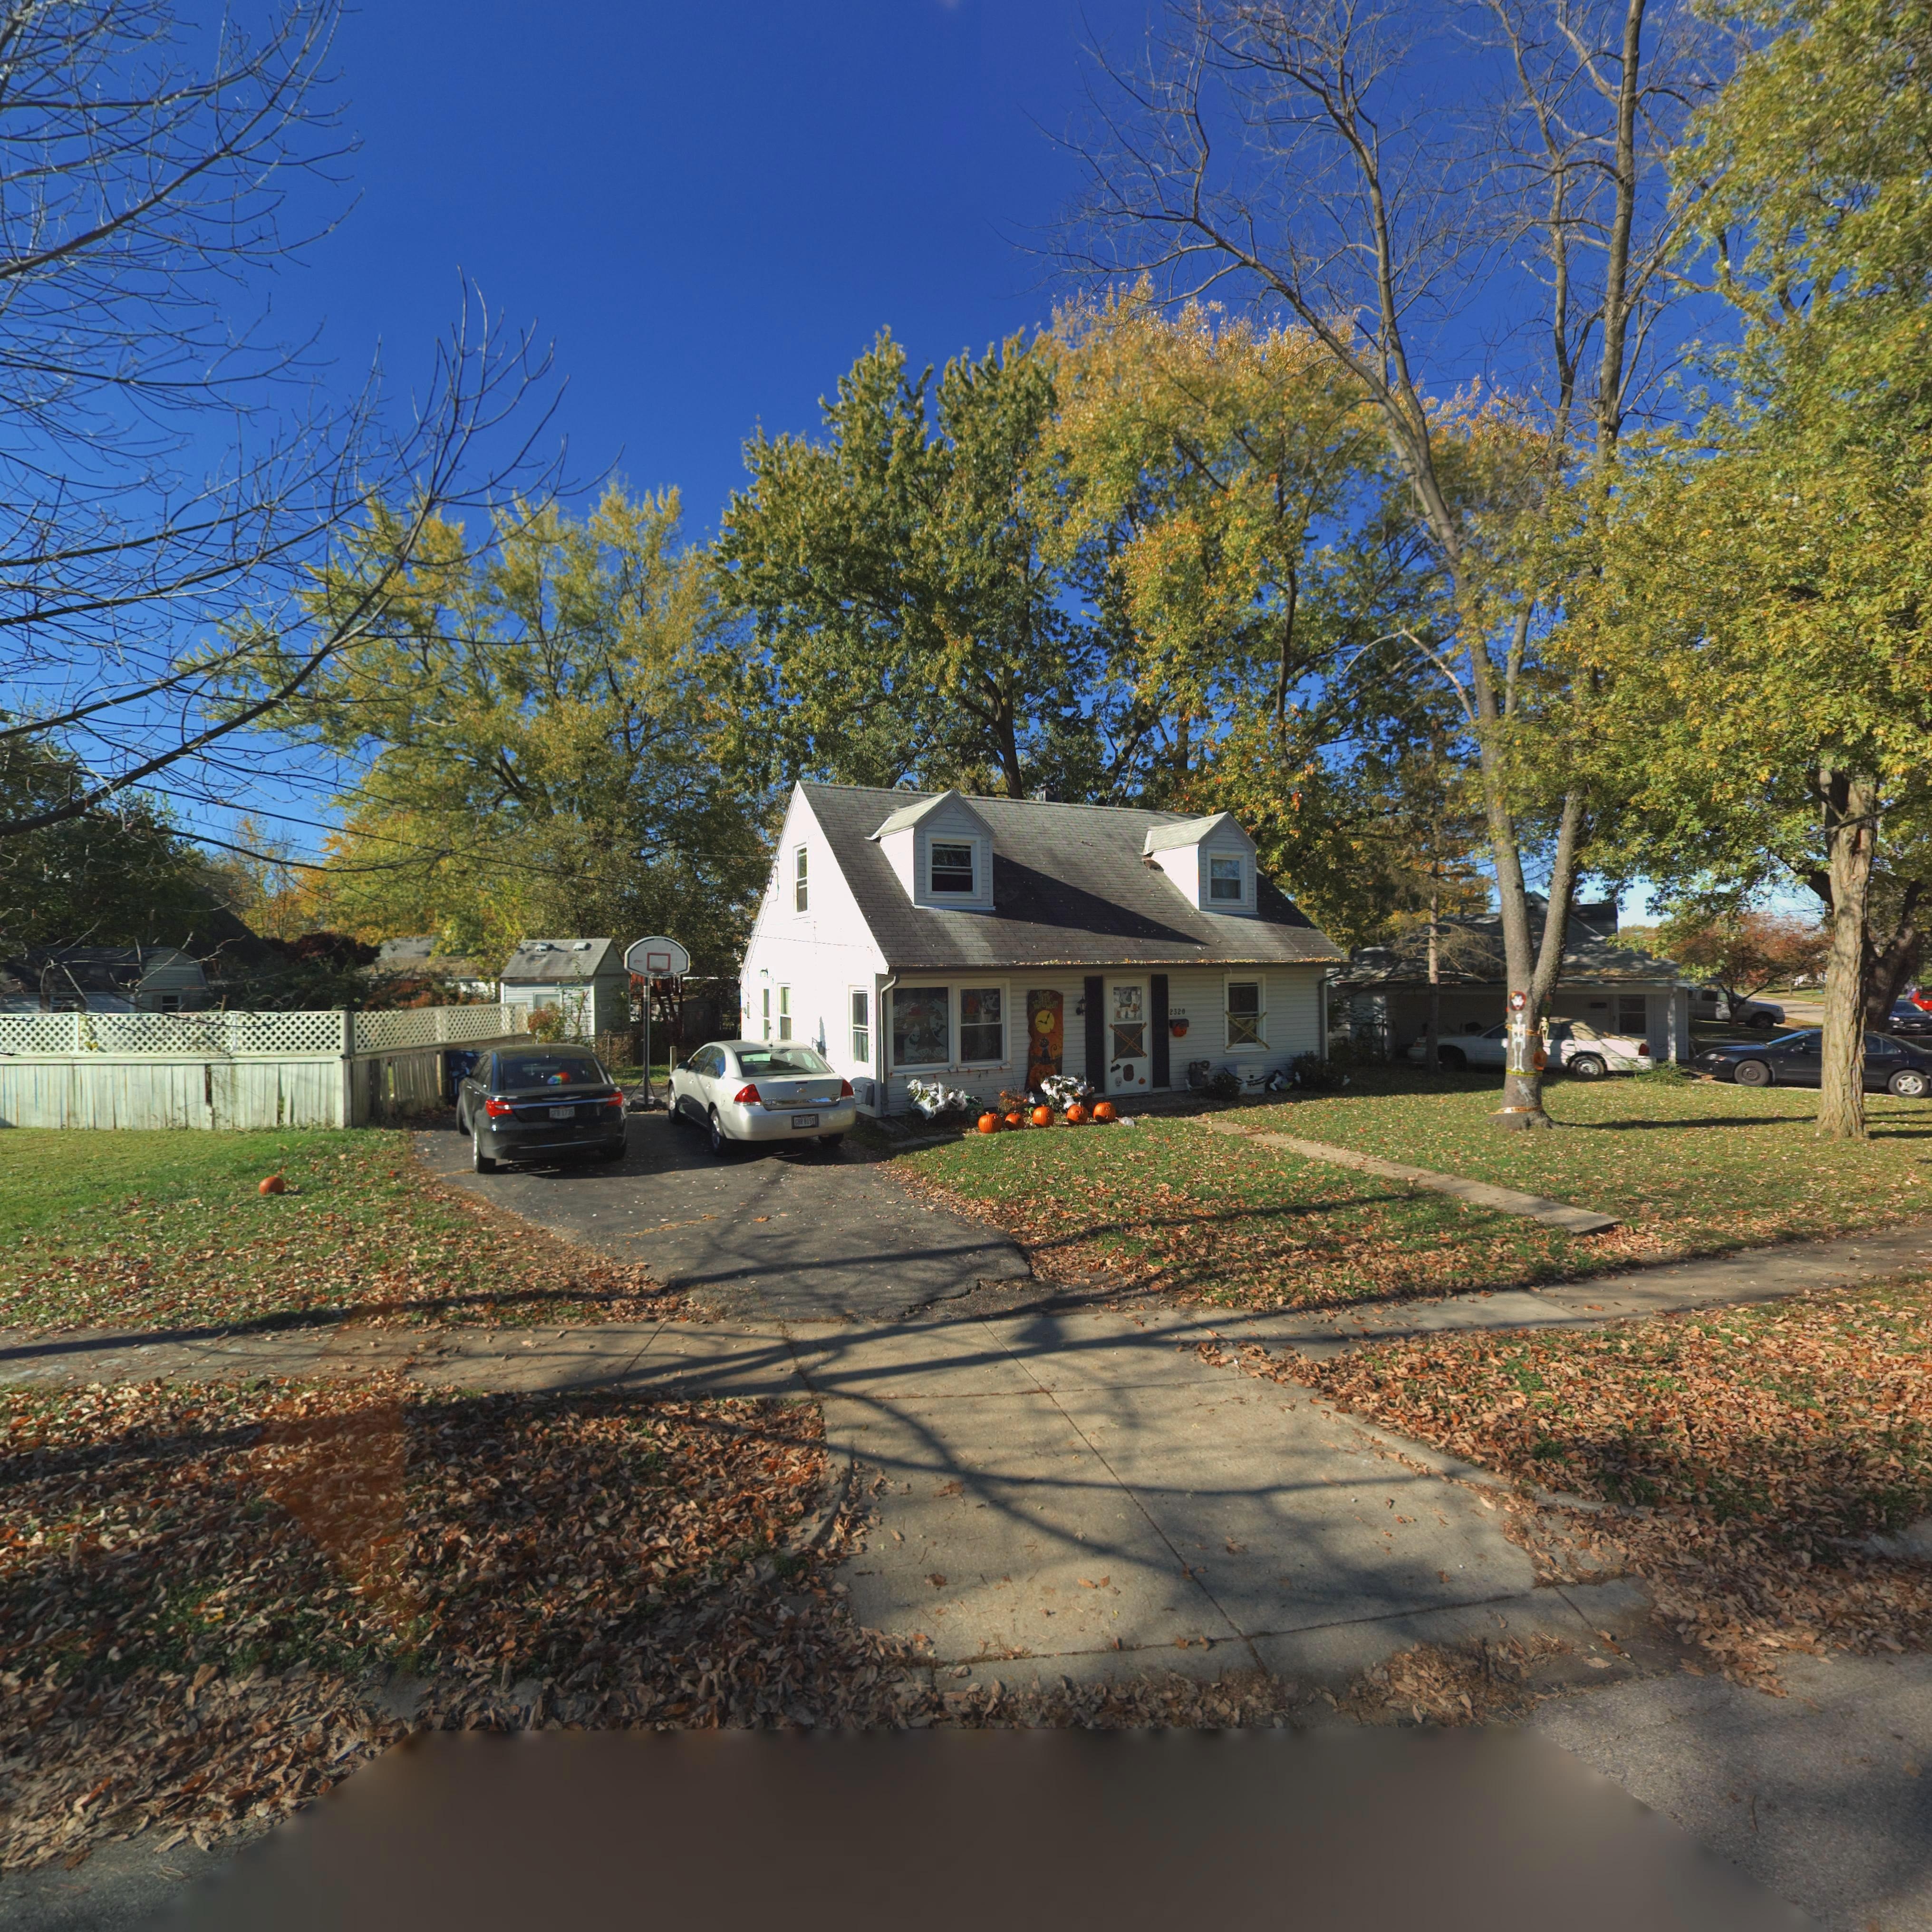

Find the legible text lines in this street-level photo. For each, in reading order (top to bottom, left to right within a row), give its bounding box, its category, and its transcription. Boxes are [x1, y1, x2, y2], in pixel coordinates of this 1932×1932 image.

[1169, 1008, 1186, 1015] StreetNumber: 2320